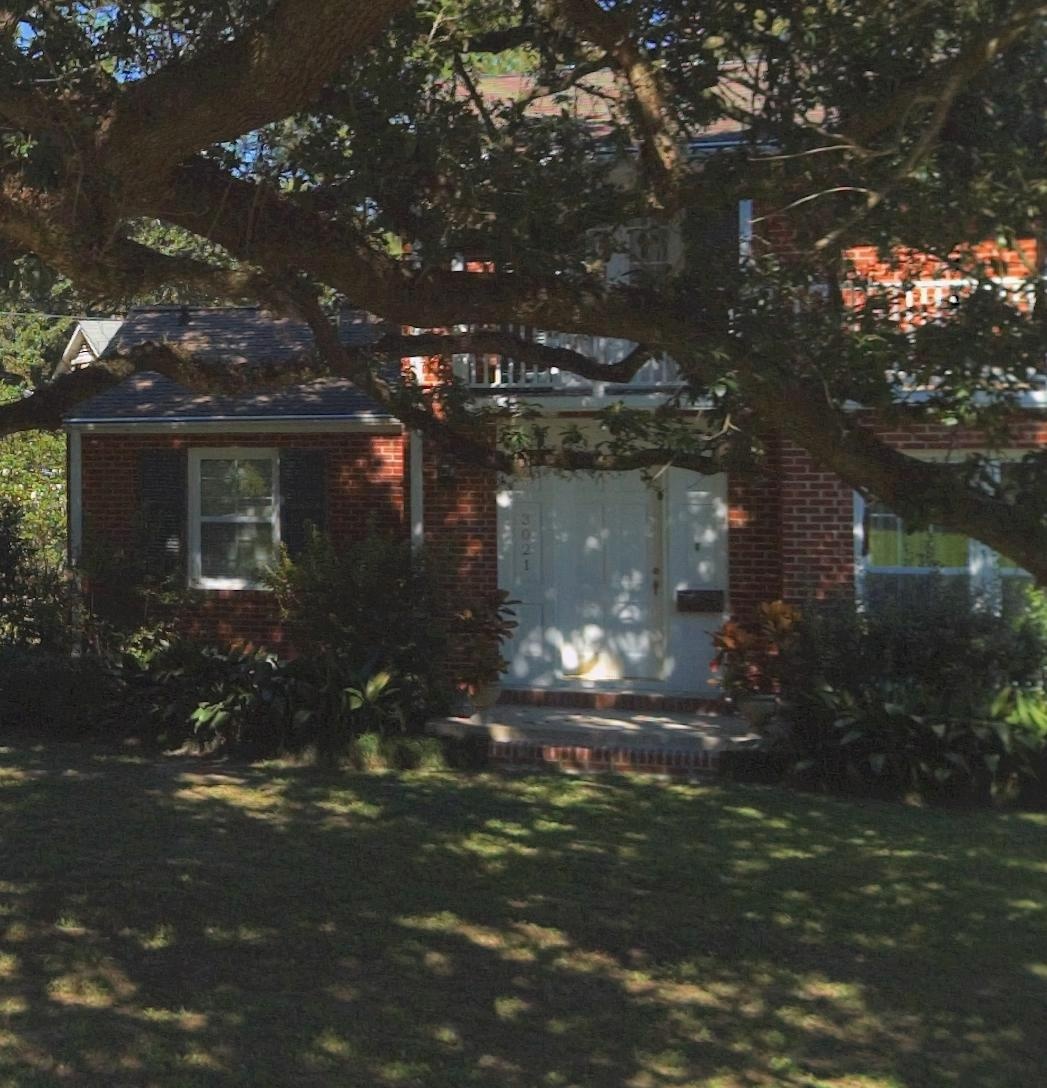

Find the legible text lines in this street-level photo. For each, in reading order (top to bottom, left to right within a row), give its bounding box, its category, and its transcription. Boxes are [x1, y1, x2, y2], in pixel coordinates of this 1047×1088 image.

[519, 510, 533, 573] StreetNumber: 3021